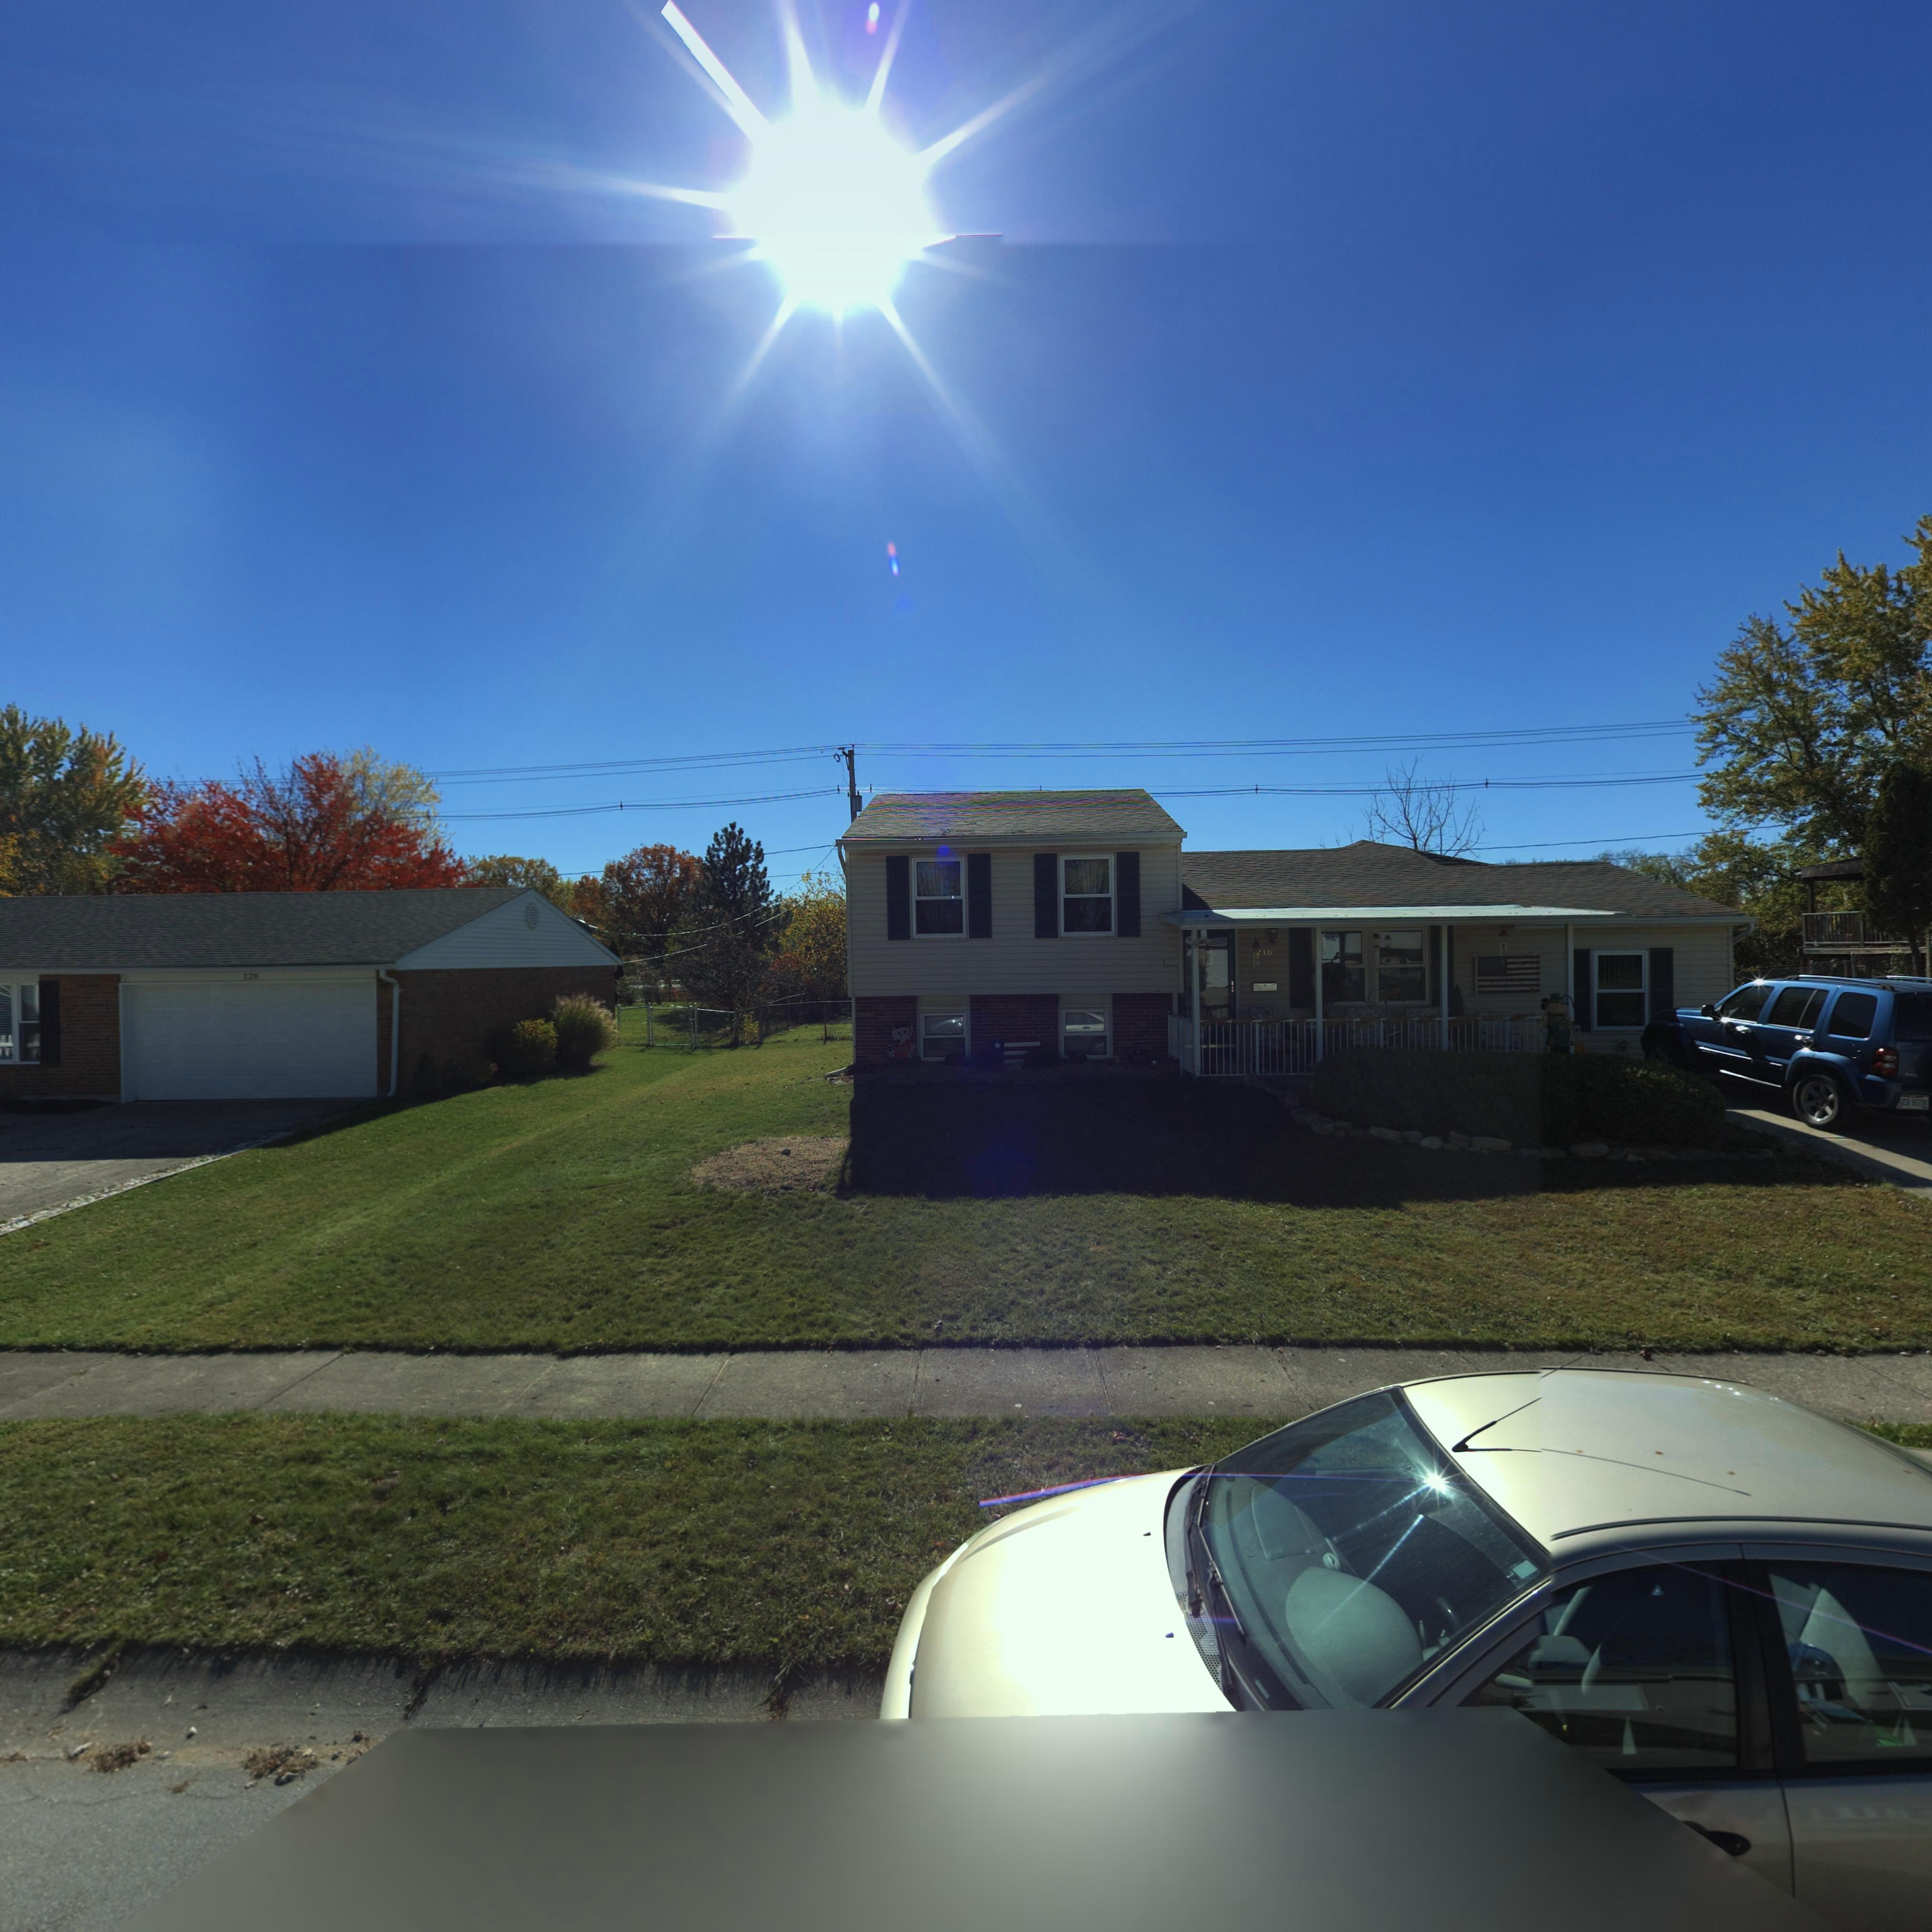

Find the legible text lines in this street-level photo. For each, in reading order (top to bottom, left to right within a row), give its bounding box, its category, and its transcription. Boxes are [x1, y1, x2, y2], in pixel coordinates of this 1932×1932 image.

[1256, 949, 1273, 956] StreetNumber: 230
[242, 973, 259, 980] StreetNumber: 228